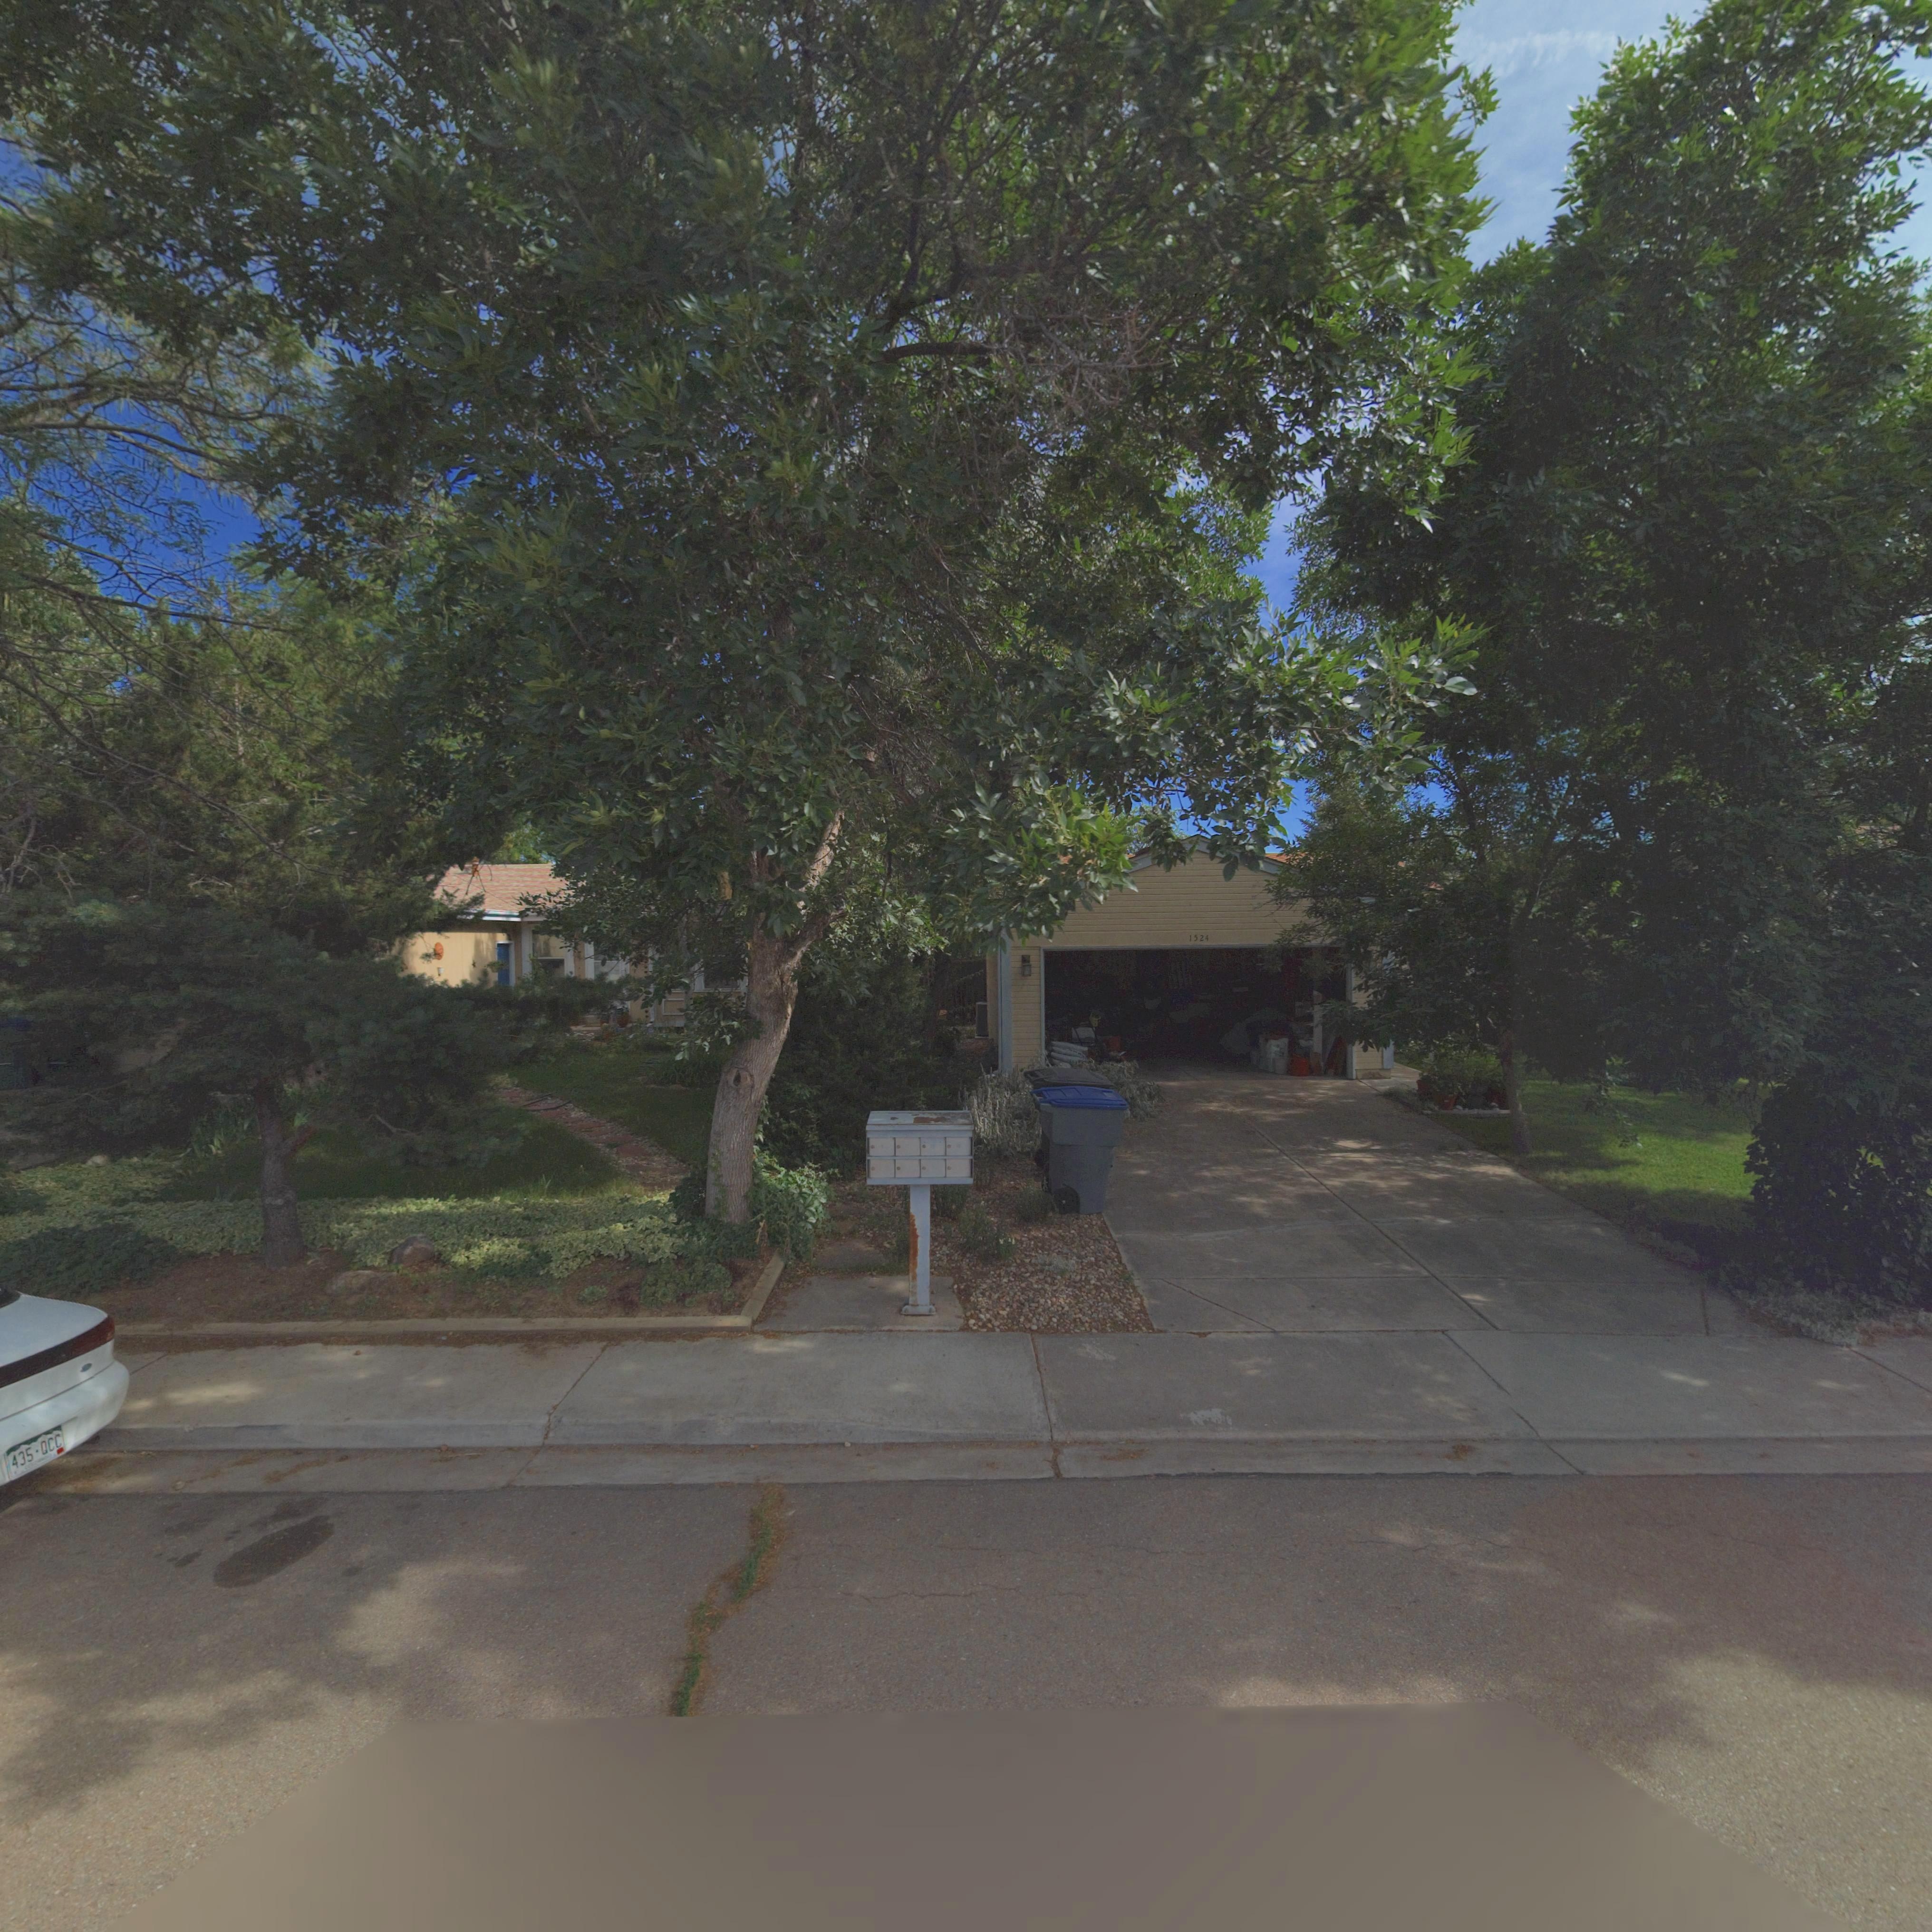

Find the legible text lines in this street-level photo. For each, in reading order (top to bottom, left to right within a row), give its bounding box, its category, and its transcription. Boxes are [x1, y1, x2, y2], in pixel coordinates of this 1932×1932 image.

[1188, 934, 1209, 943] StreetNumber: 1524